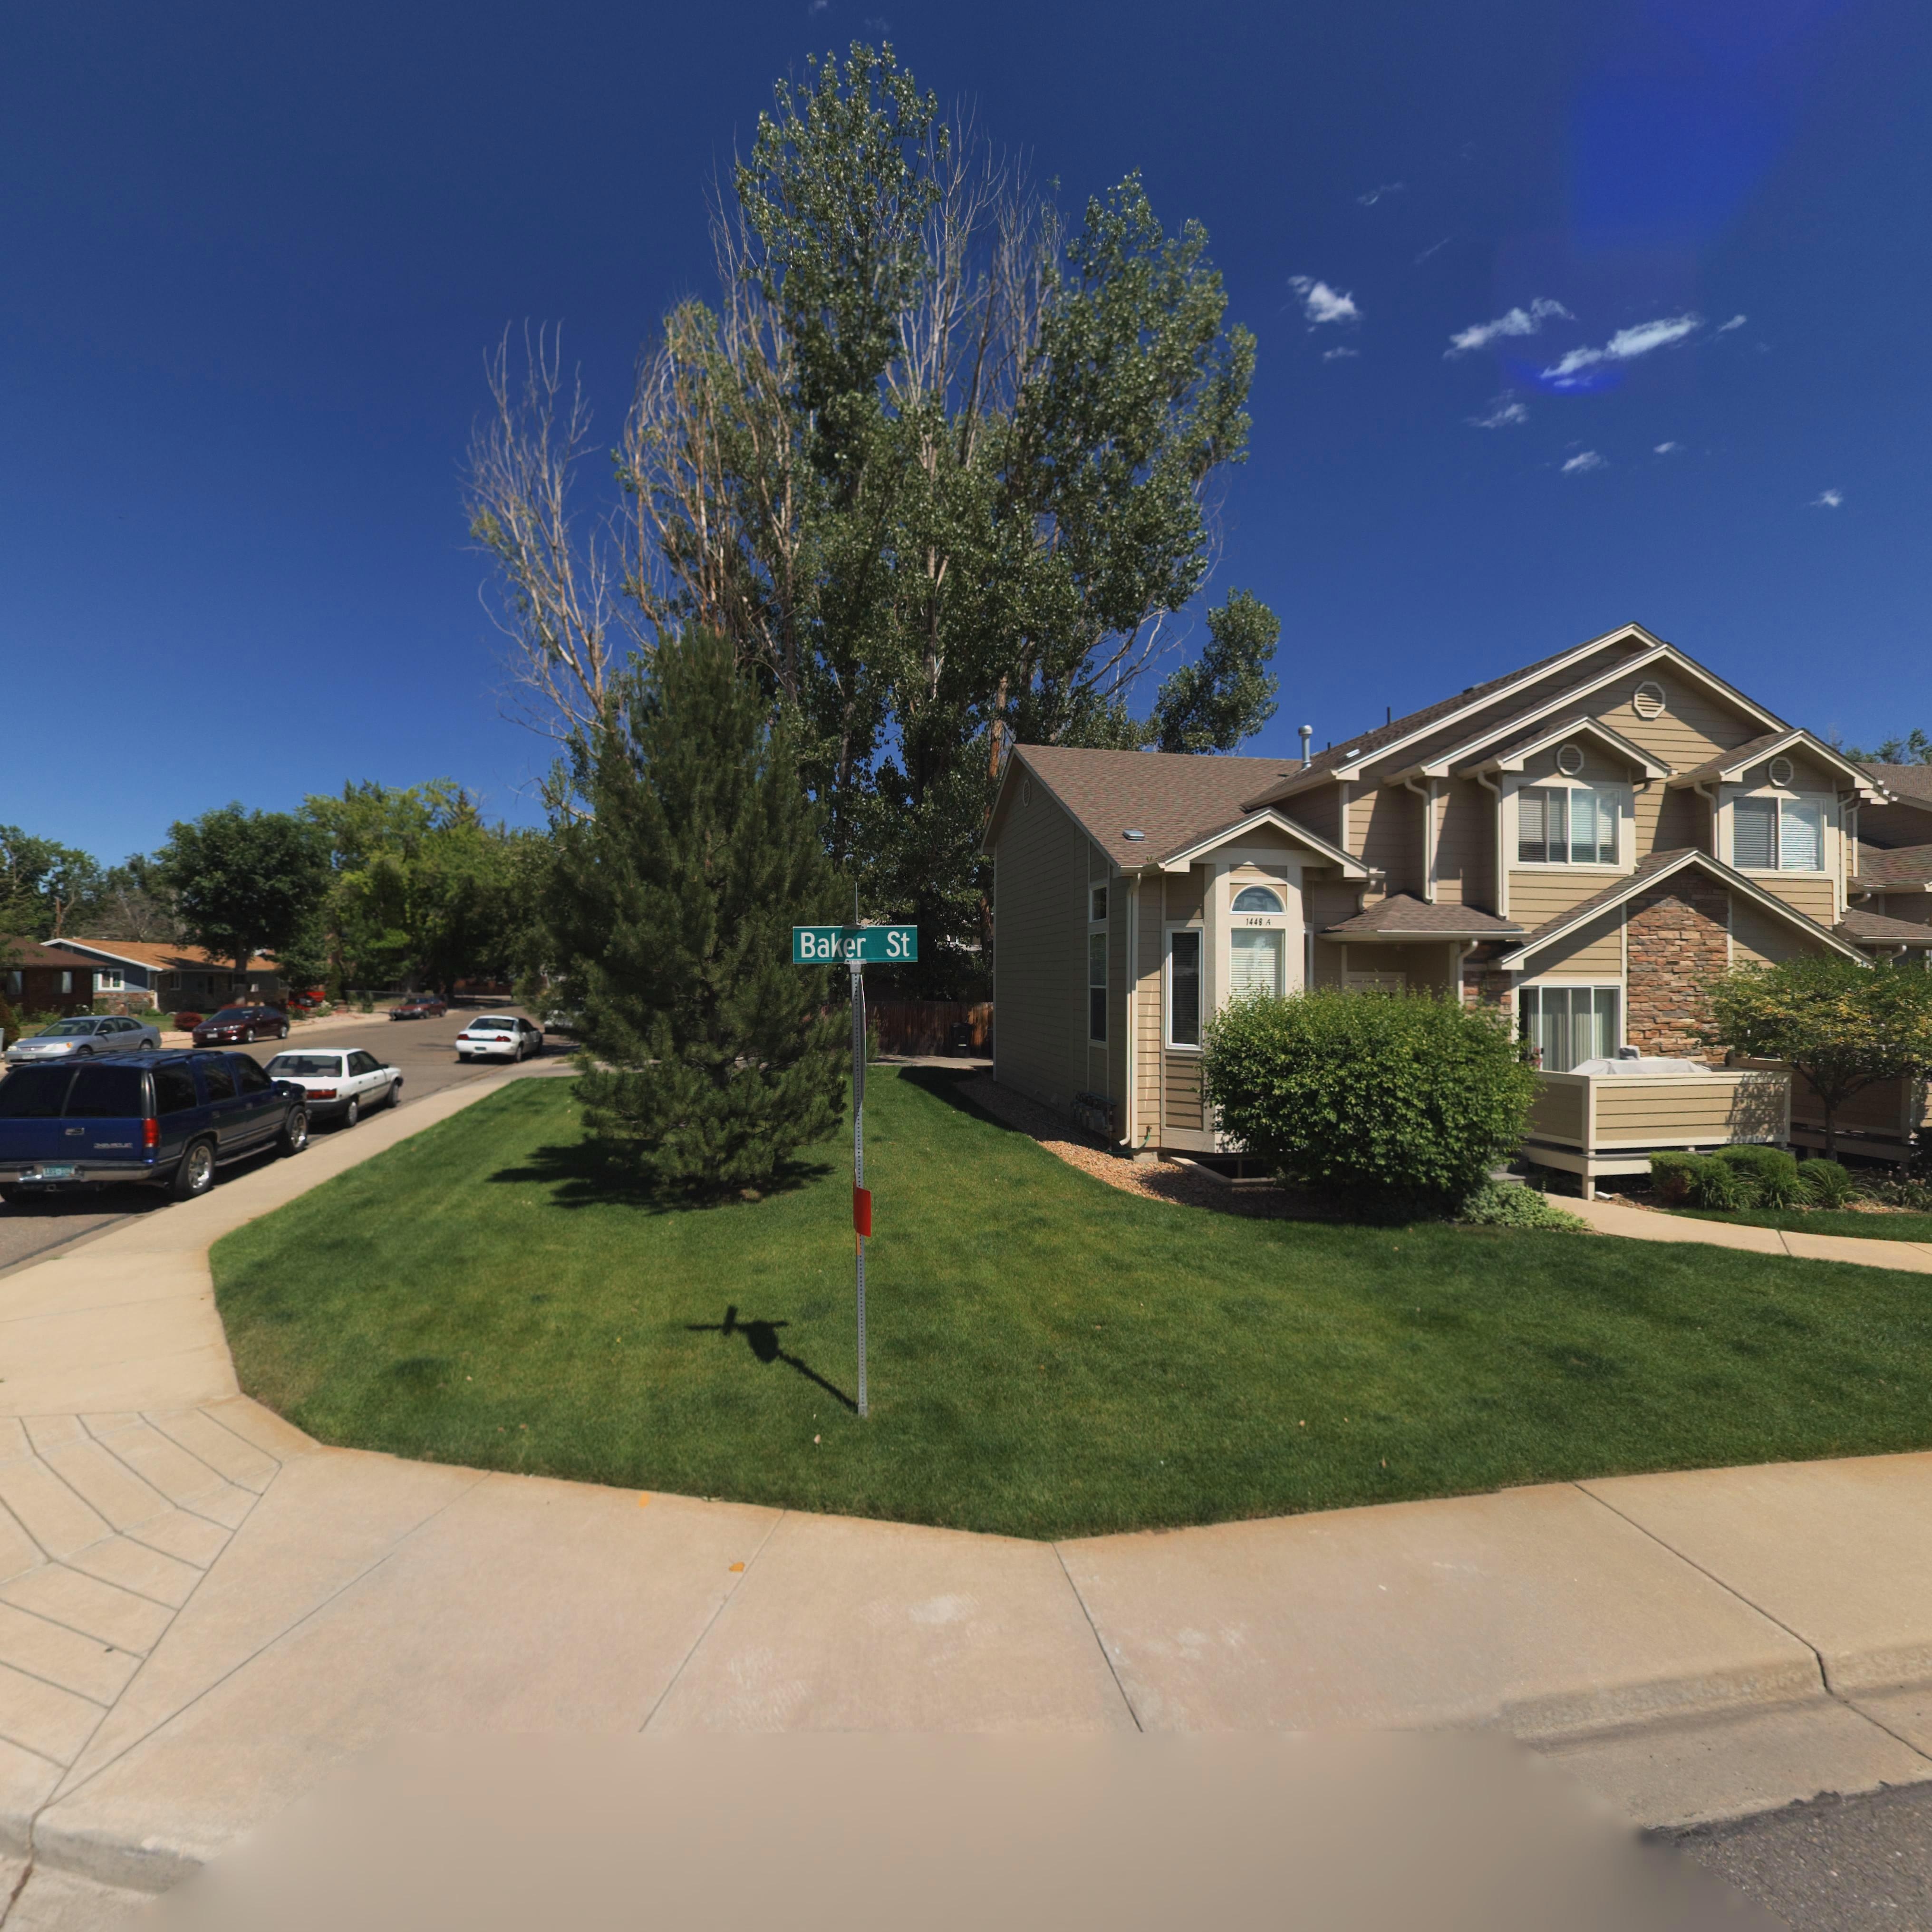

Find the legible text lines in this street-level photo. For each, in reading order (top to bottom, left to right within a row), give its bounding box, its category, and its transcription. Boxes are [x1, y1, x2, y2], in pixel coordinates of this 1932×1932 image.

[1246, 918, 1263, 926] StreetNumber: 1448
[1265, 918, 1271, 926] SecondaryUnitDesignator: A
[800, 930, 909, 958] StreetName: Baker St